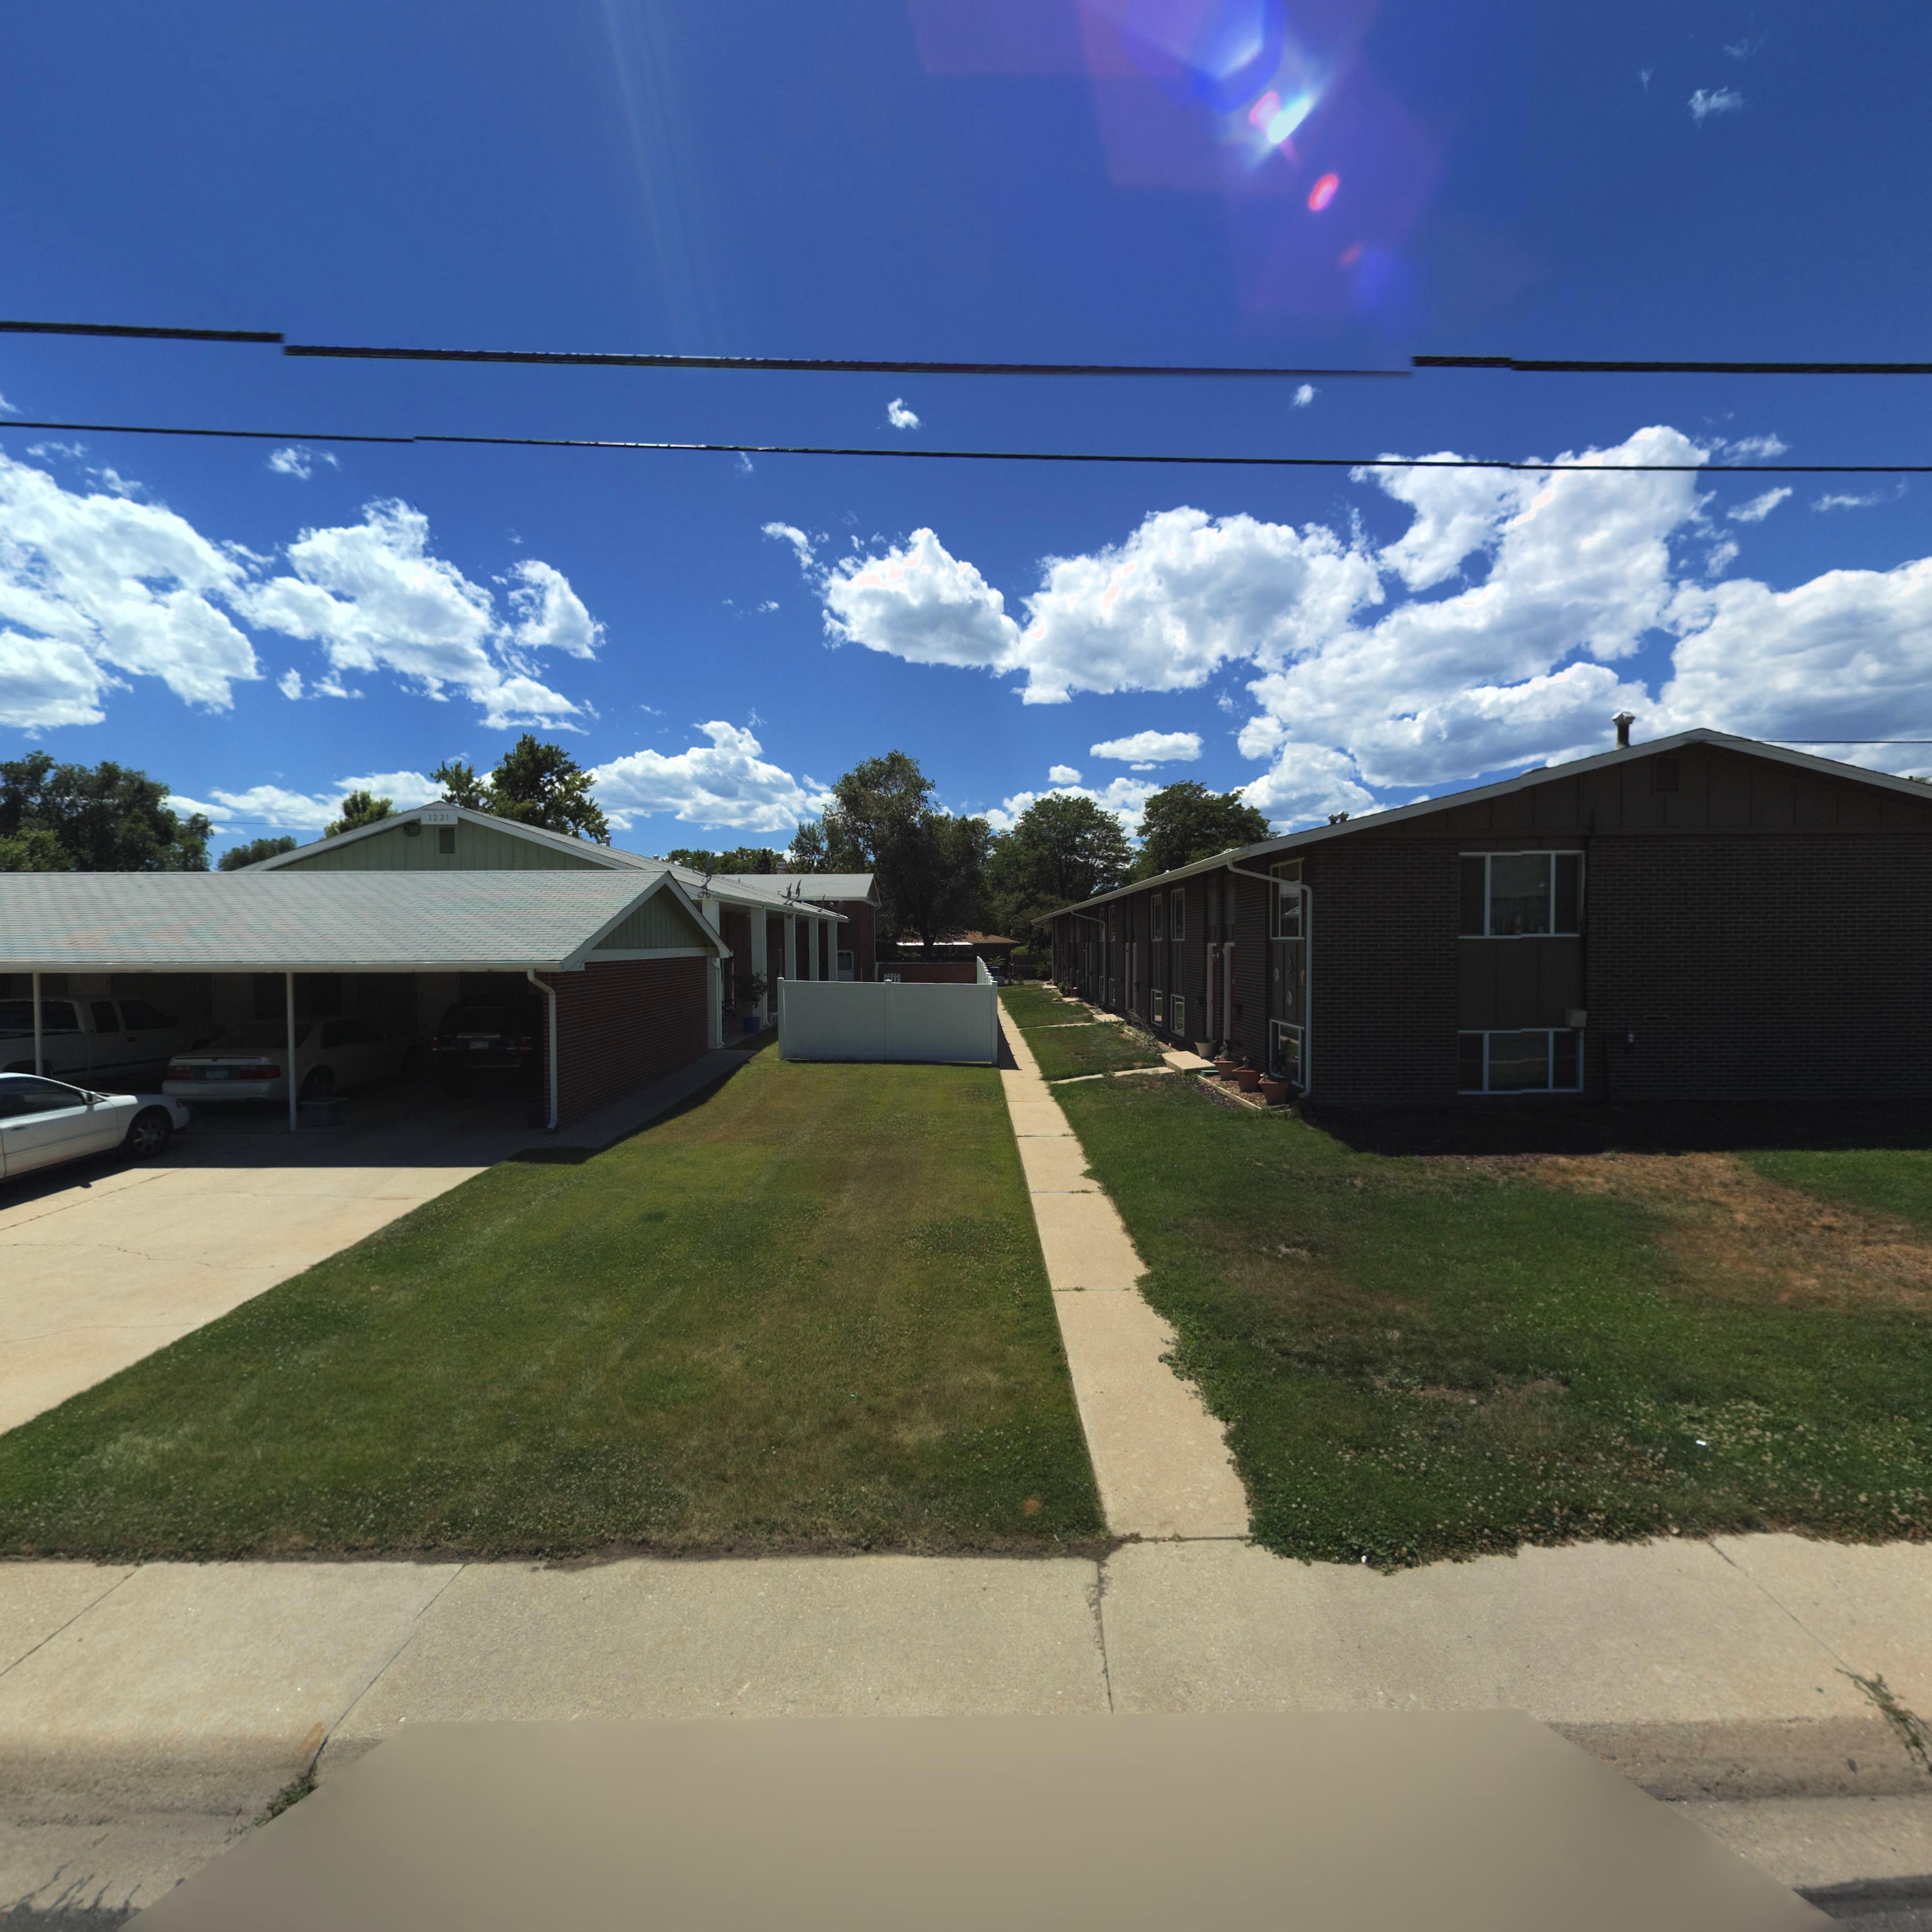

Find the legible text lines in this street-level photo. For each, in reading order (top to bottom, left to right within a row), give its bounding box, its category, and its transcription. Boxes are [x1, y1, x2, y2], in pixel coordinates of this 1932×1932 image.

[428, 813, 449, 821] StreetNumber: 1221